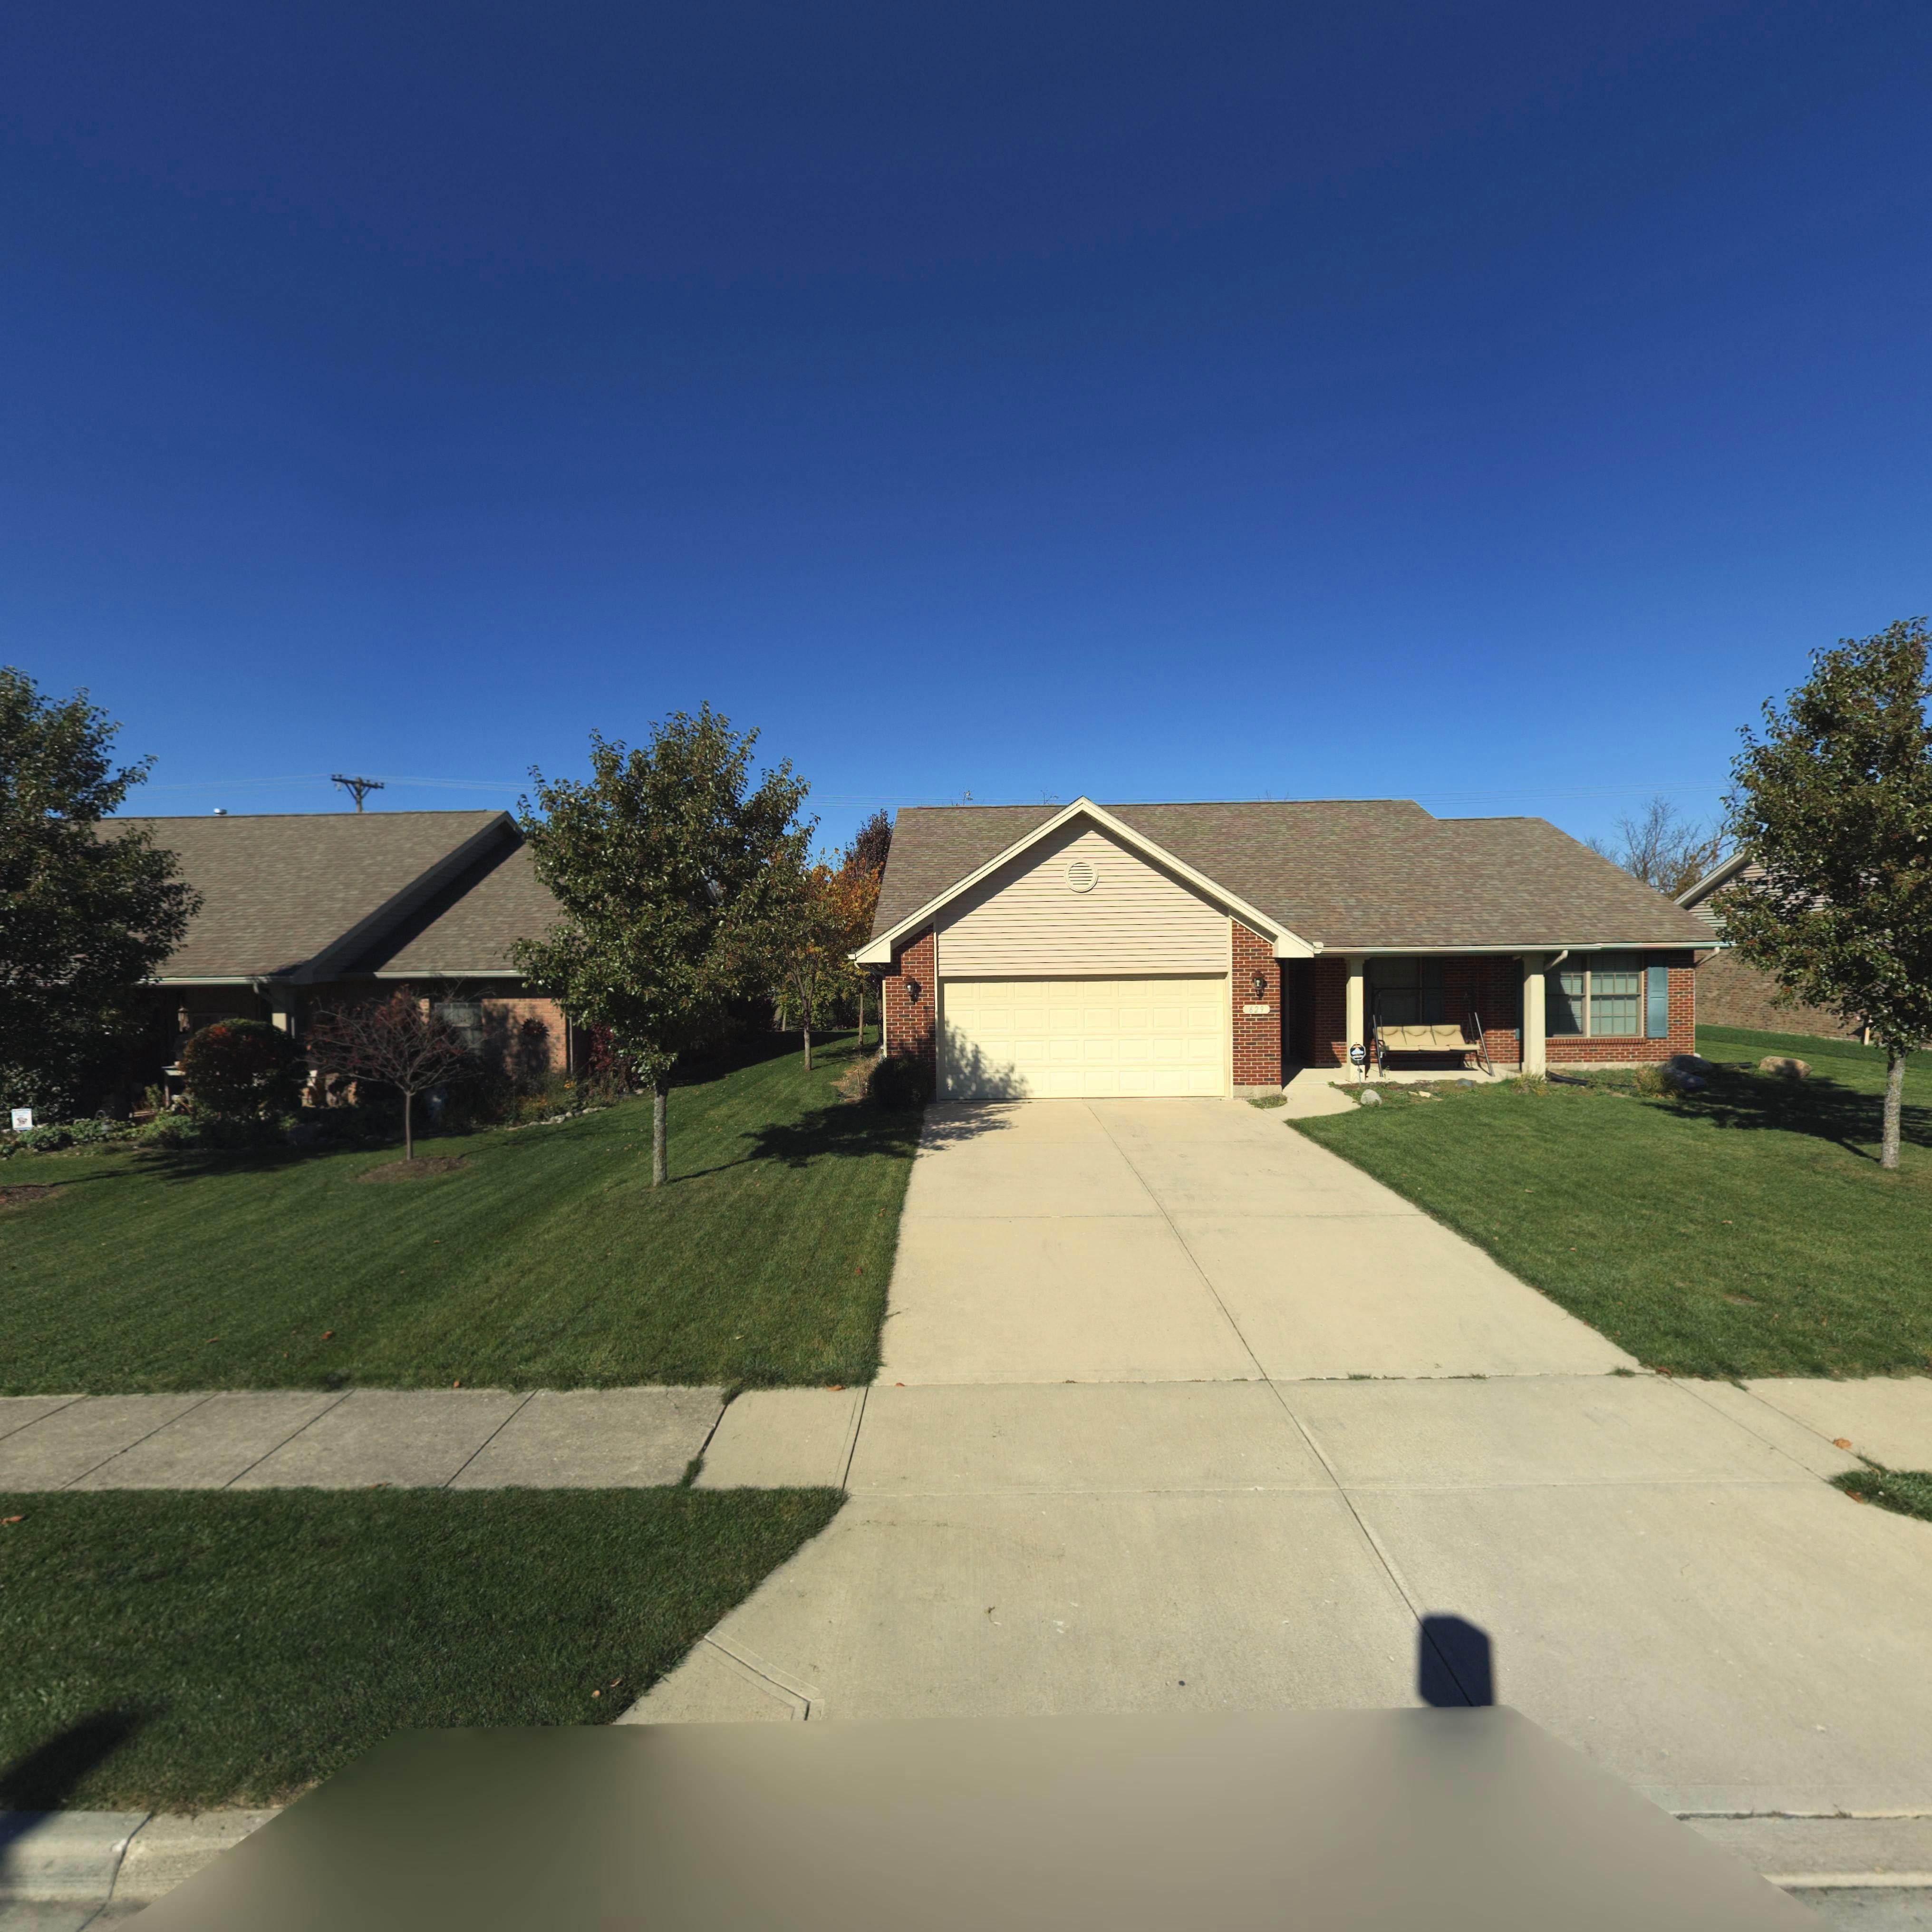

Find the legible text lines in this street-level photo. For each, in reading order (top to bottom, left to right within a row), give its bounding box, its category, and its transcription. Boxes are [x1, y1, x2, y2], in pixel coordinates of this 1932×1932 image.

[1248, 1005, 1265, 1014] StreetNumber: 629